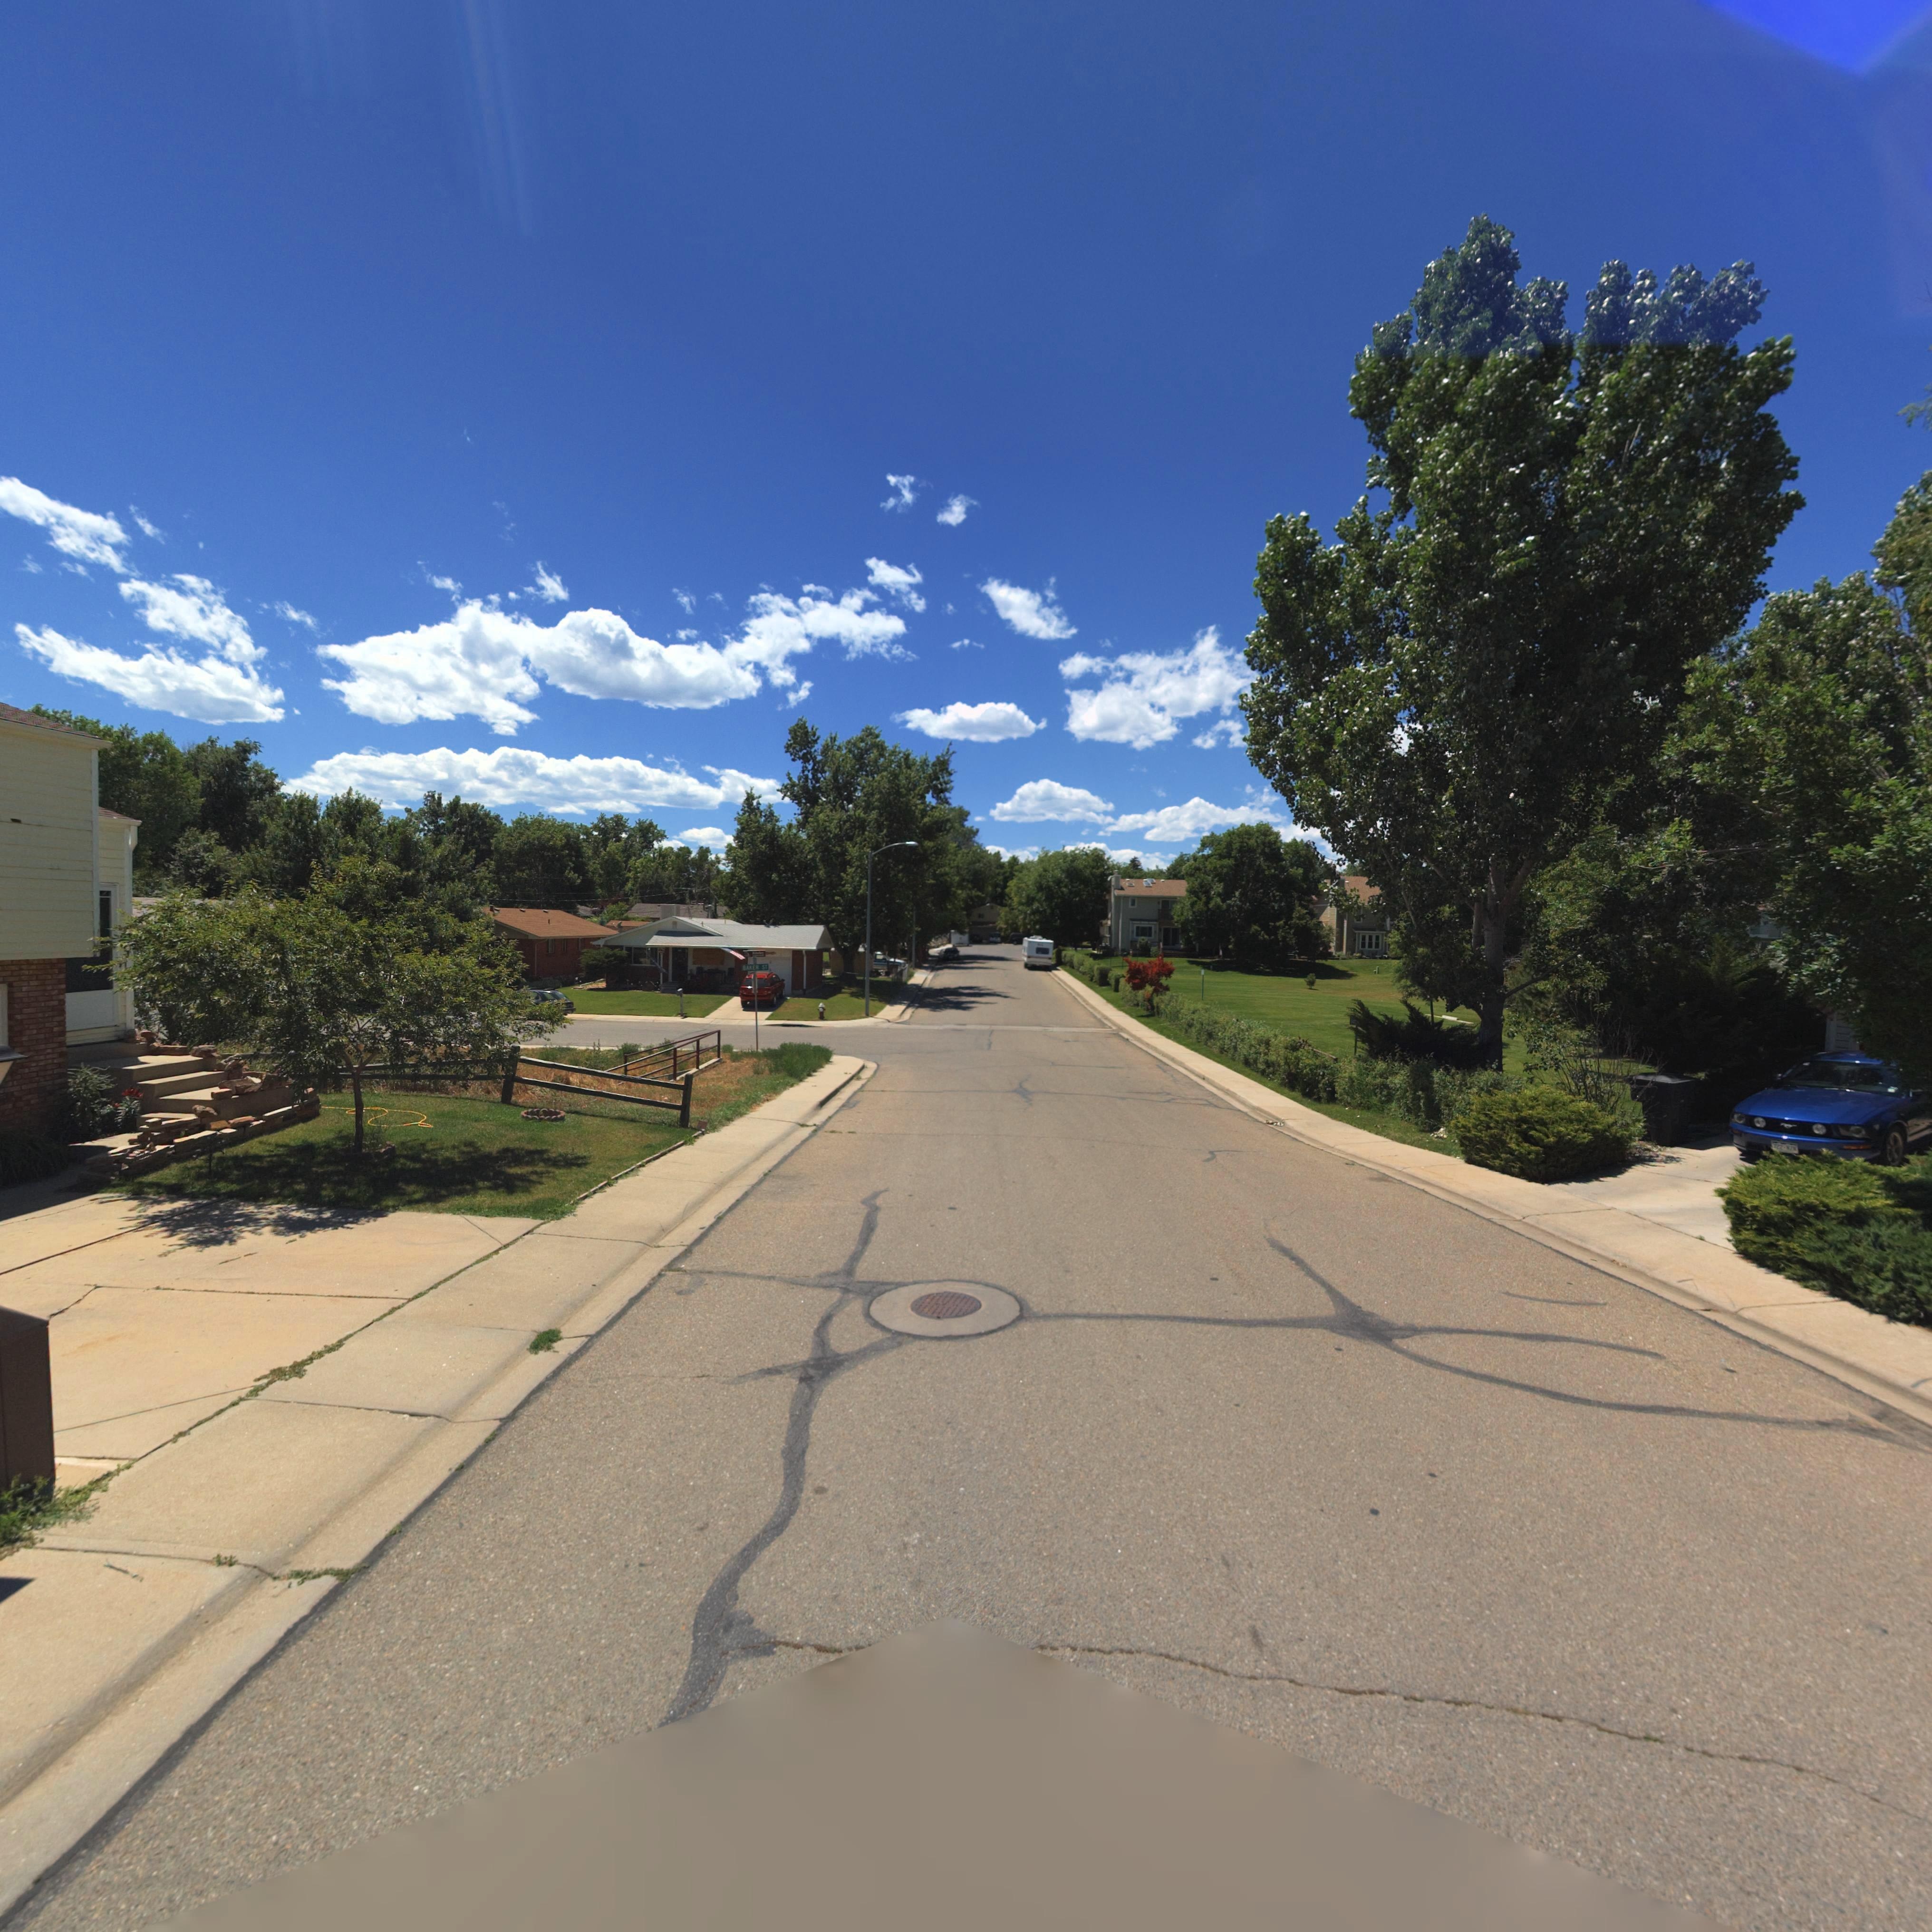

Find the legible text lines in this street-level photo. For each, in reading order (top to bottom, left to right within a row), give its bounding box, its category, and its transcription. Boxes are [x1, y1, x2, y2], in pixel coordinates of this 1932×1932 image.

[743, 964, 767, 970] StreetName: BAKER ST